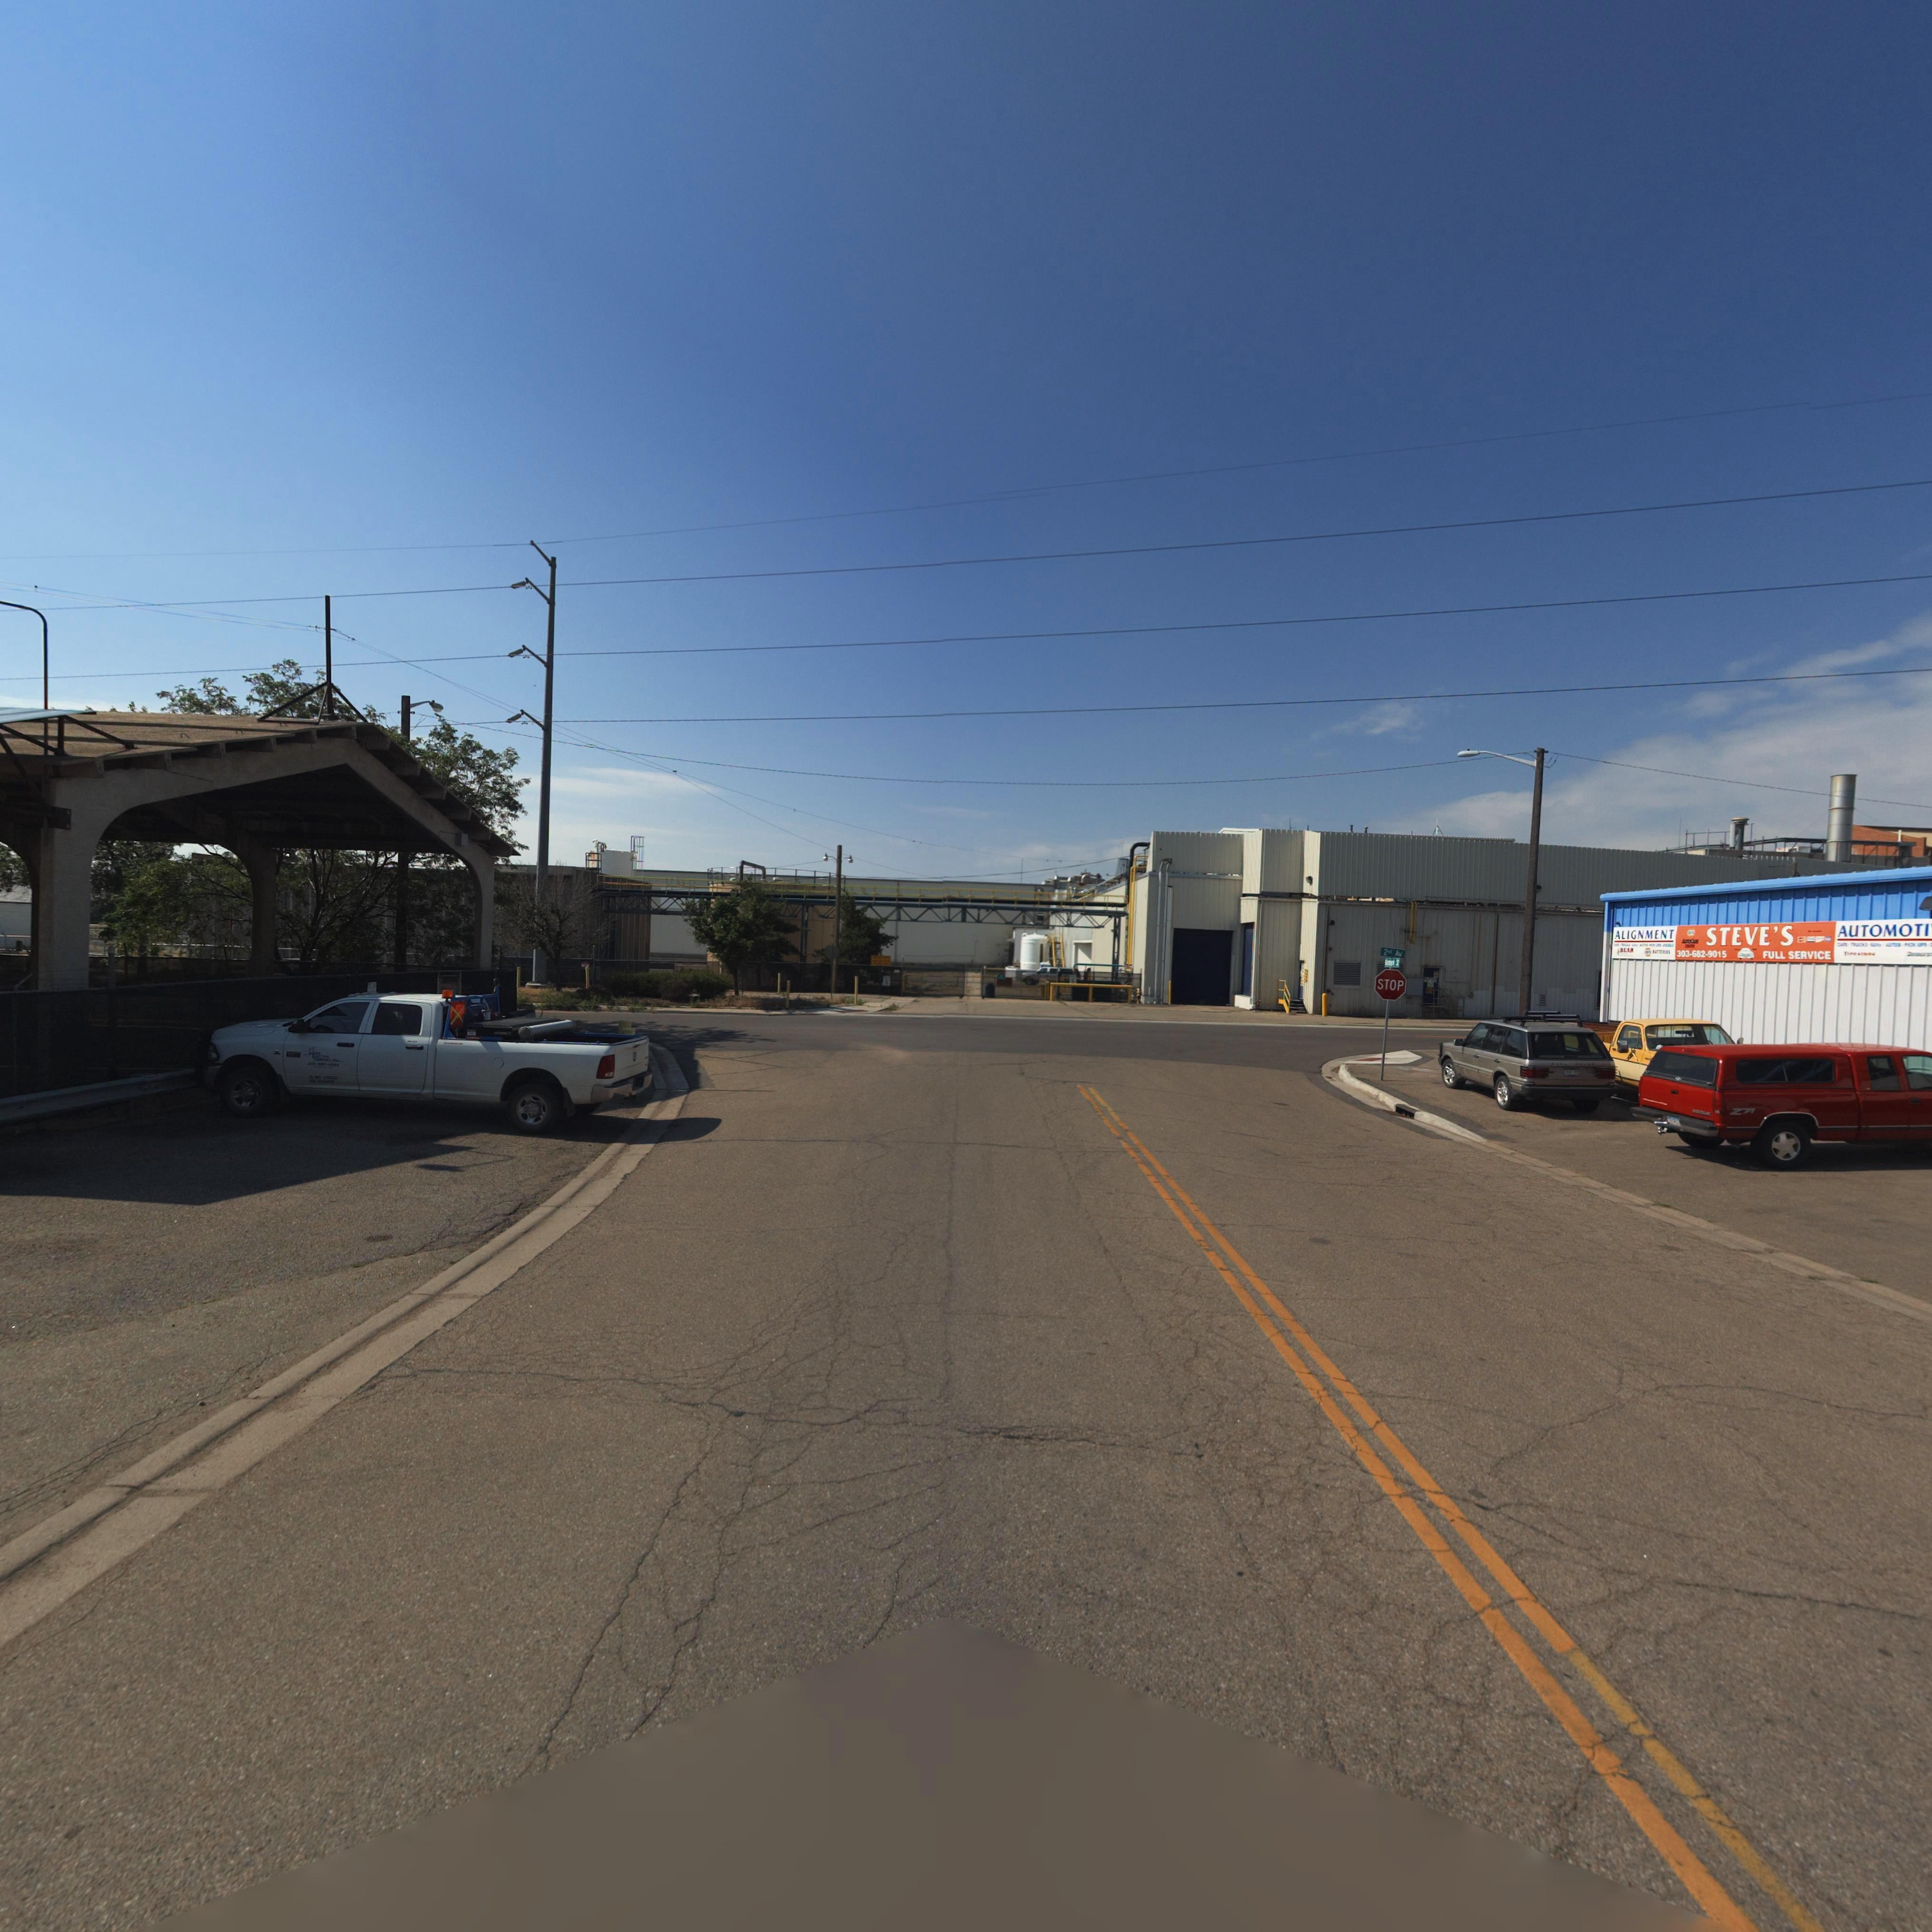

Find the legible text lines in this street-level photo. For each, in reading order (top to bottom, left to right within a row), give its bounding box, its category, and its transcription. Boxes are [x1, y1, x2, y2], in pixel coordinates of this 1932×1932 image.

[1705, 924, 1794, 946] BusinessName: STEVE'S
[1837, 923, 1929, 937] BusinessName: AUTOMOTI
[1383, 948, 1402, 957] StreetName: 2nd Av
[1384, 958, 1400, 966] StreetName: Kimbark St